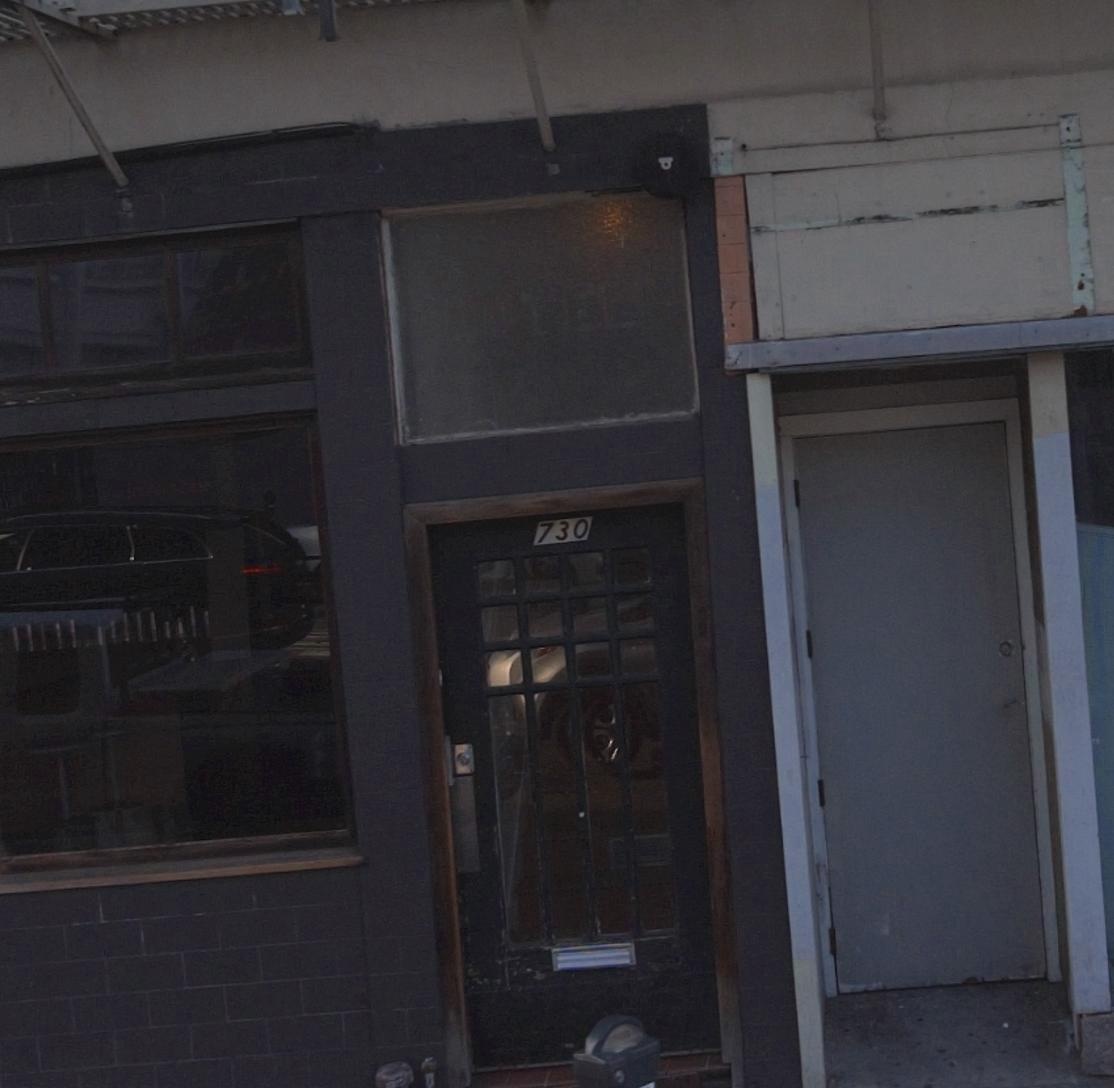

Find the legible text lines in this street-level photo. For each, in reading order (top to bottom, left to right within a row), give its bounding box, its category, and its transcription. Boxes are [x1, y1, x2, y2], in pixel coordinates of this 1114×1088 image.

[534, 517, 590, 545] StreetNumber: 730